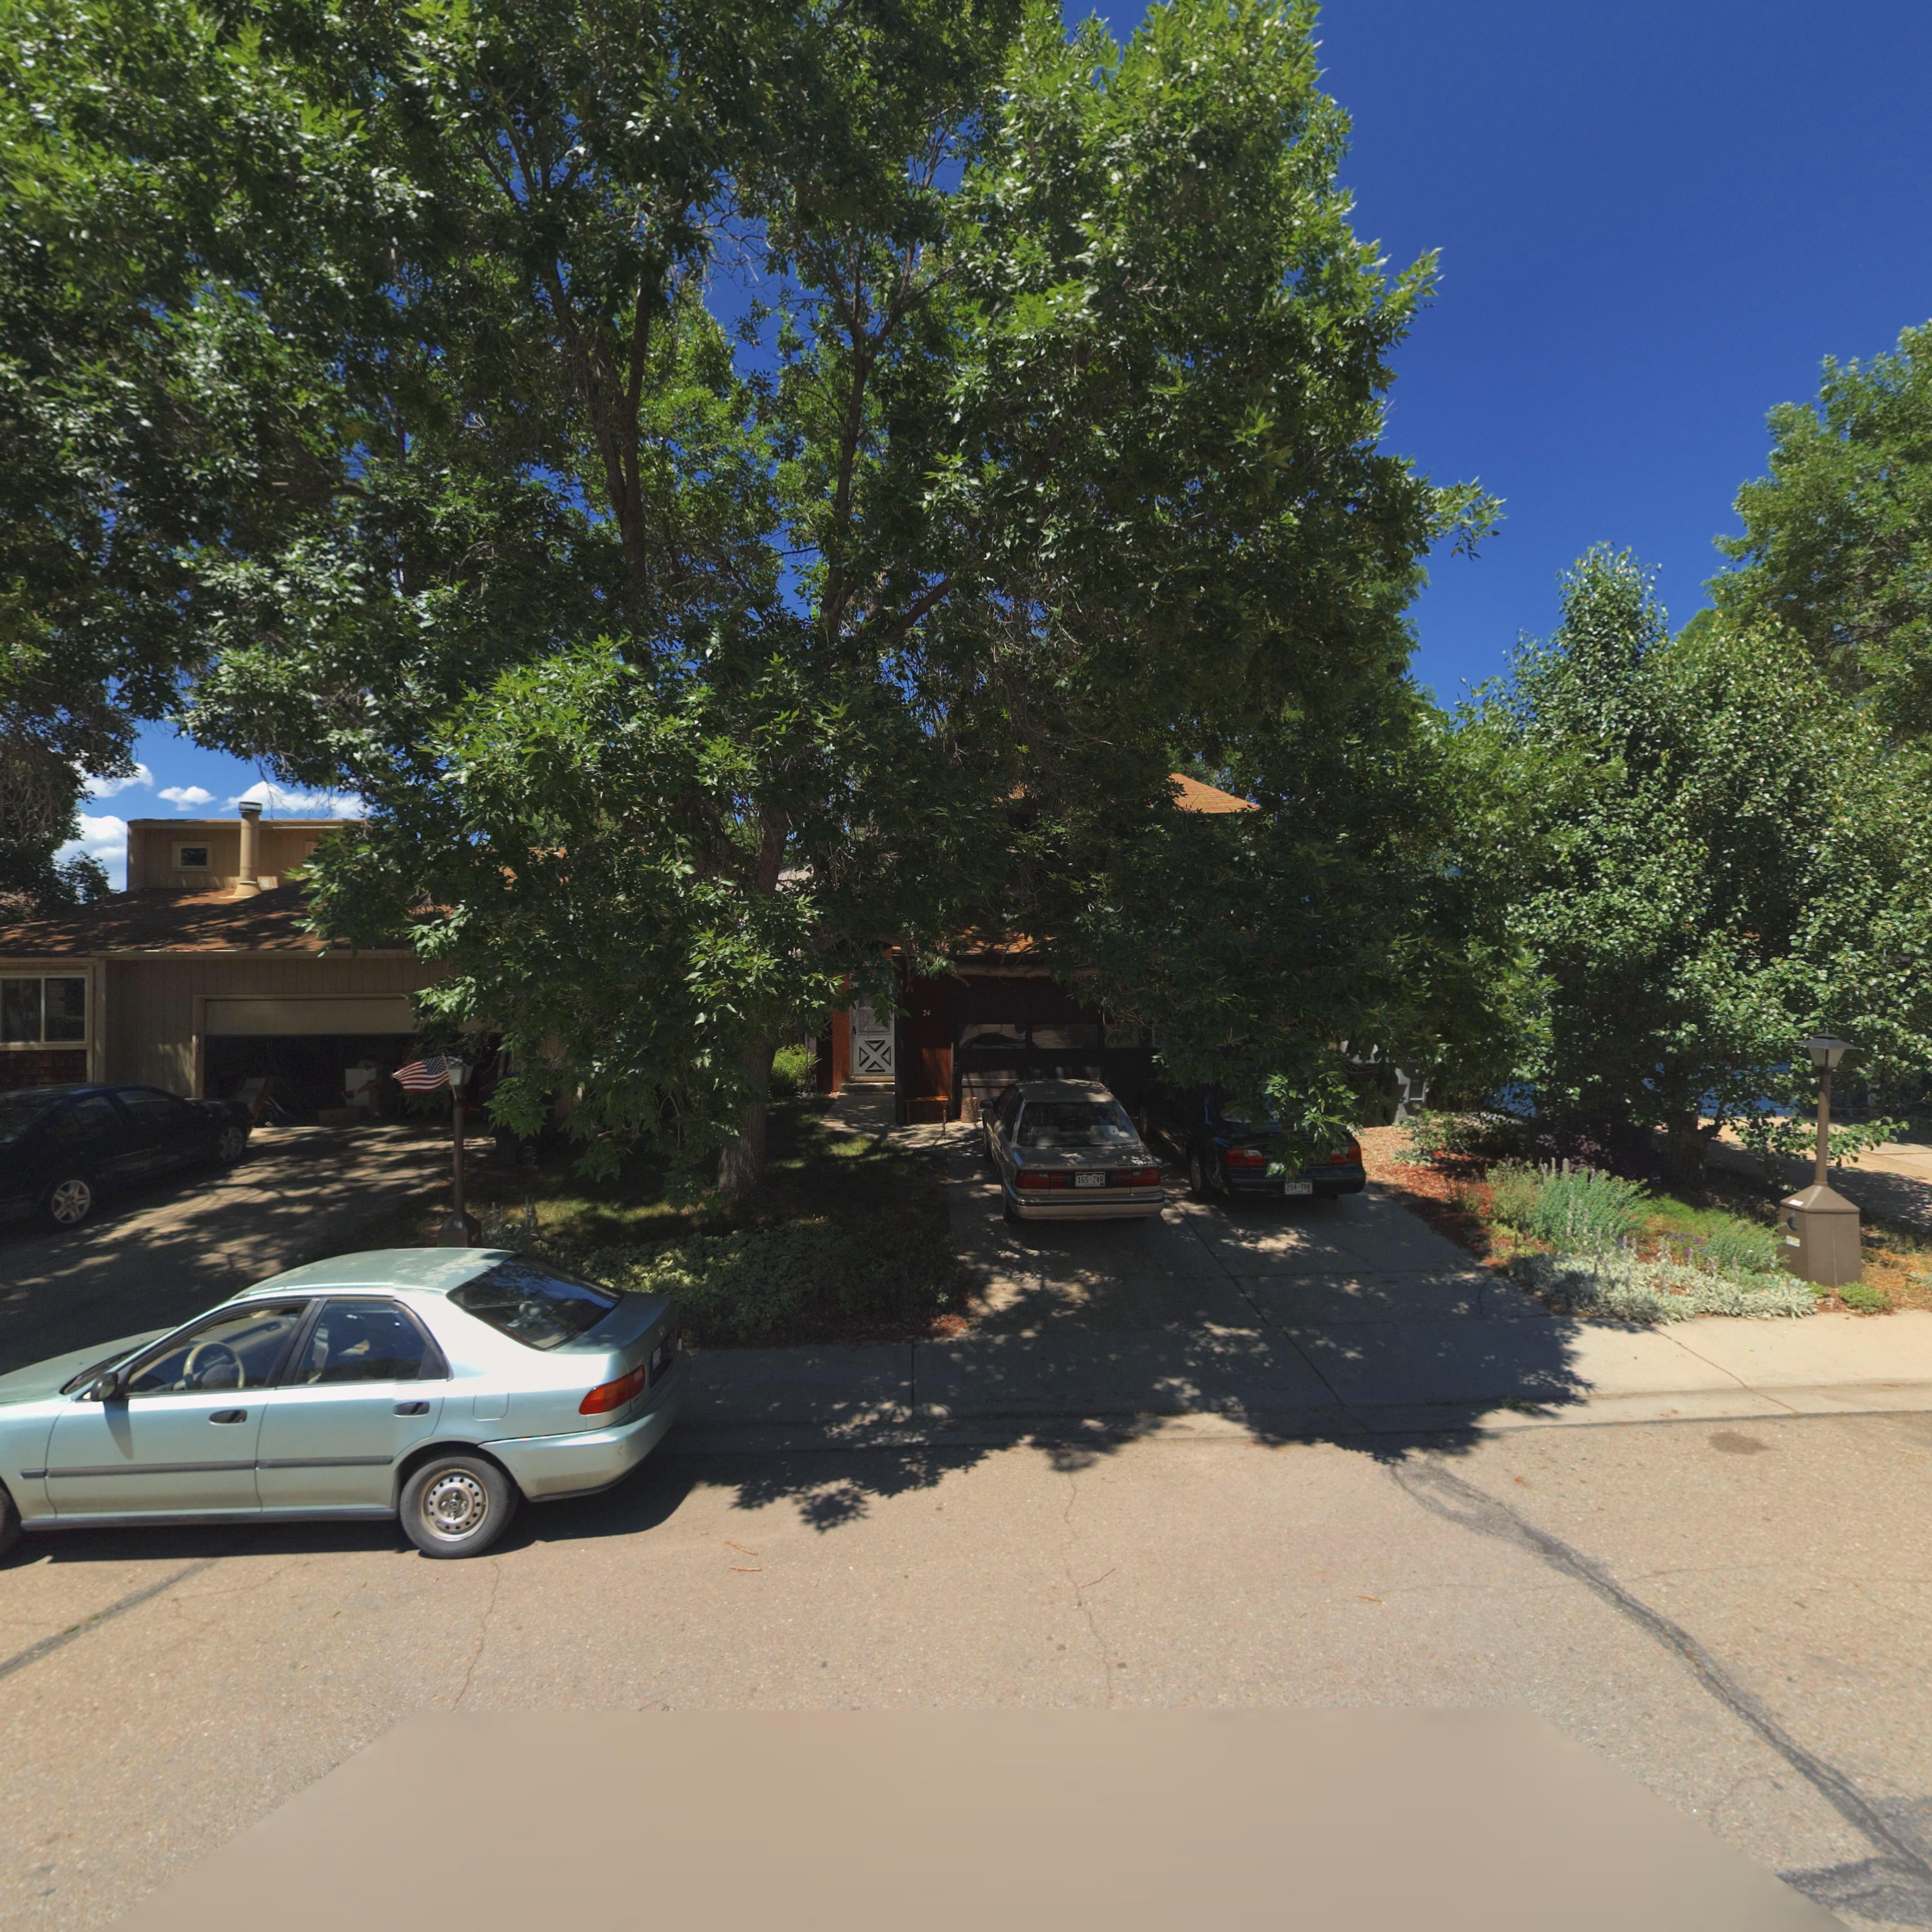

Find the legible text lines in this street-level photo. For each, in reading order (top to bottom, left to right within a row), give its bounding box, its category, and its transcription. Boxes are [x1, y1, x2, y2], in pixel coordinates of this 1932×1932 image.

[922, 1009, 931, 1016] StreetNumber: 24